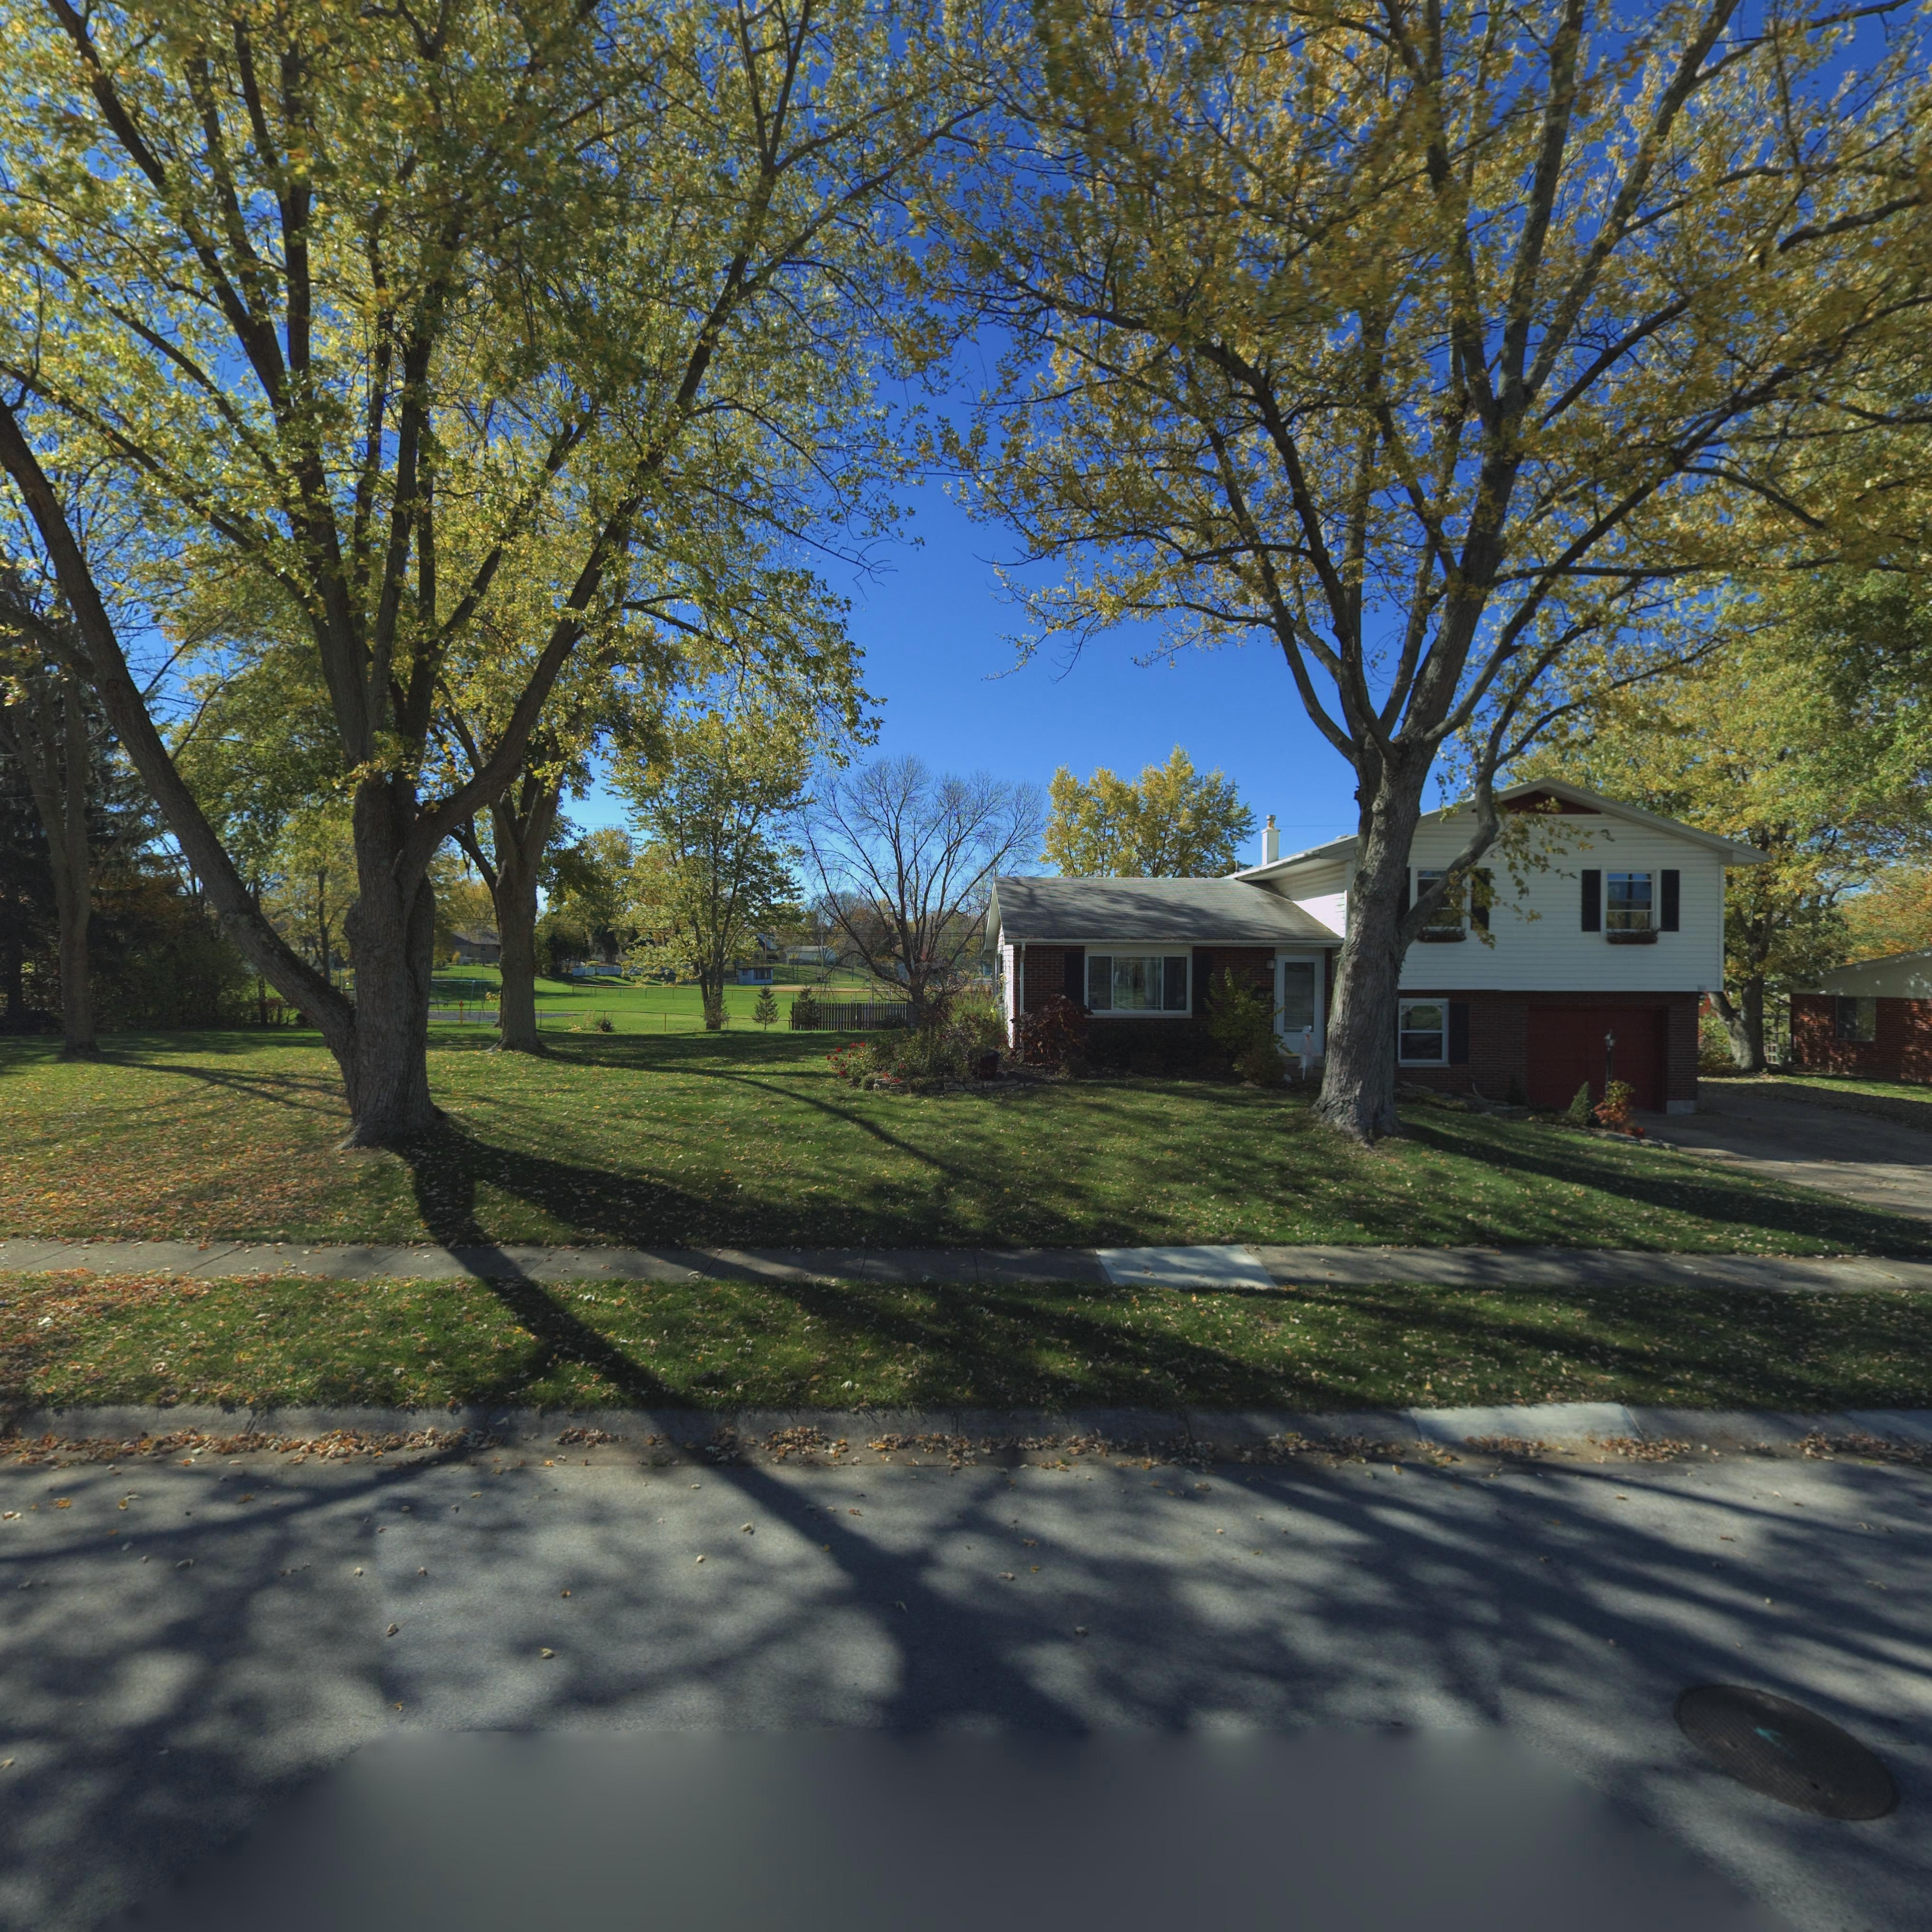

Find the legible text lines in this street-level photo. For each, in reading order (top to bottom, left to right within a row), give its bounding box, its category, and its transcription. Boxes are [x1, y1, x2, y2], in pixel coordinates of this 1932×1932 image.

[1696, 985, 1707, 991] StreetNumber: **1